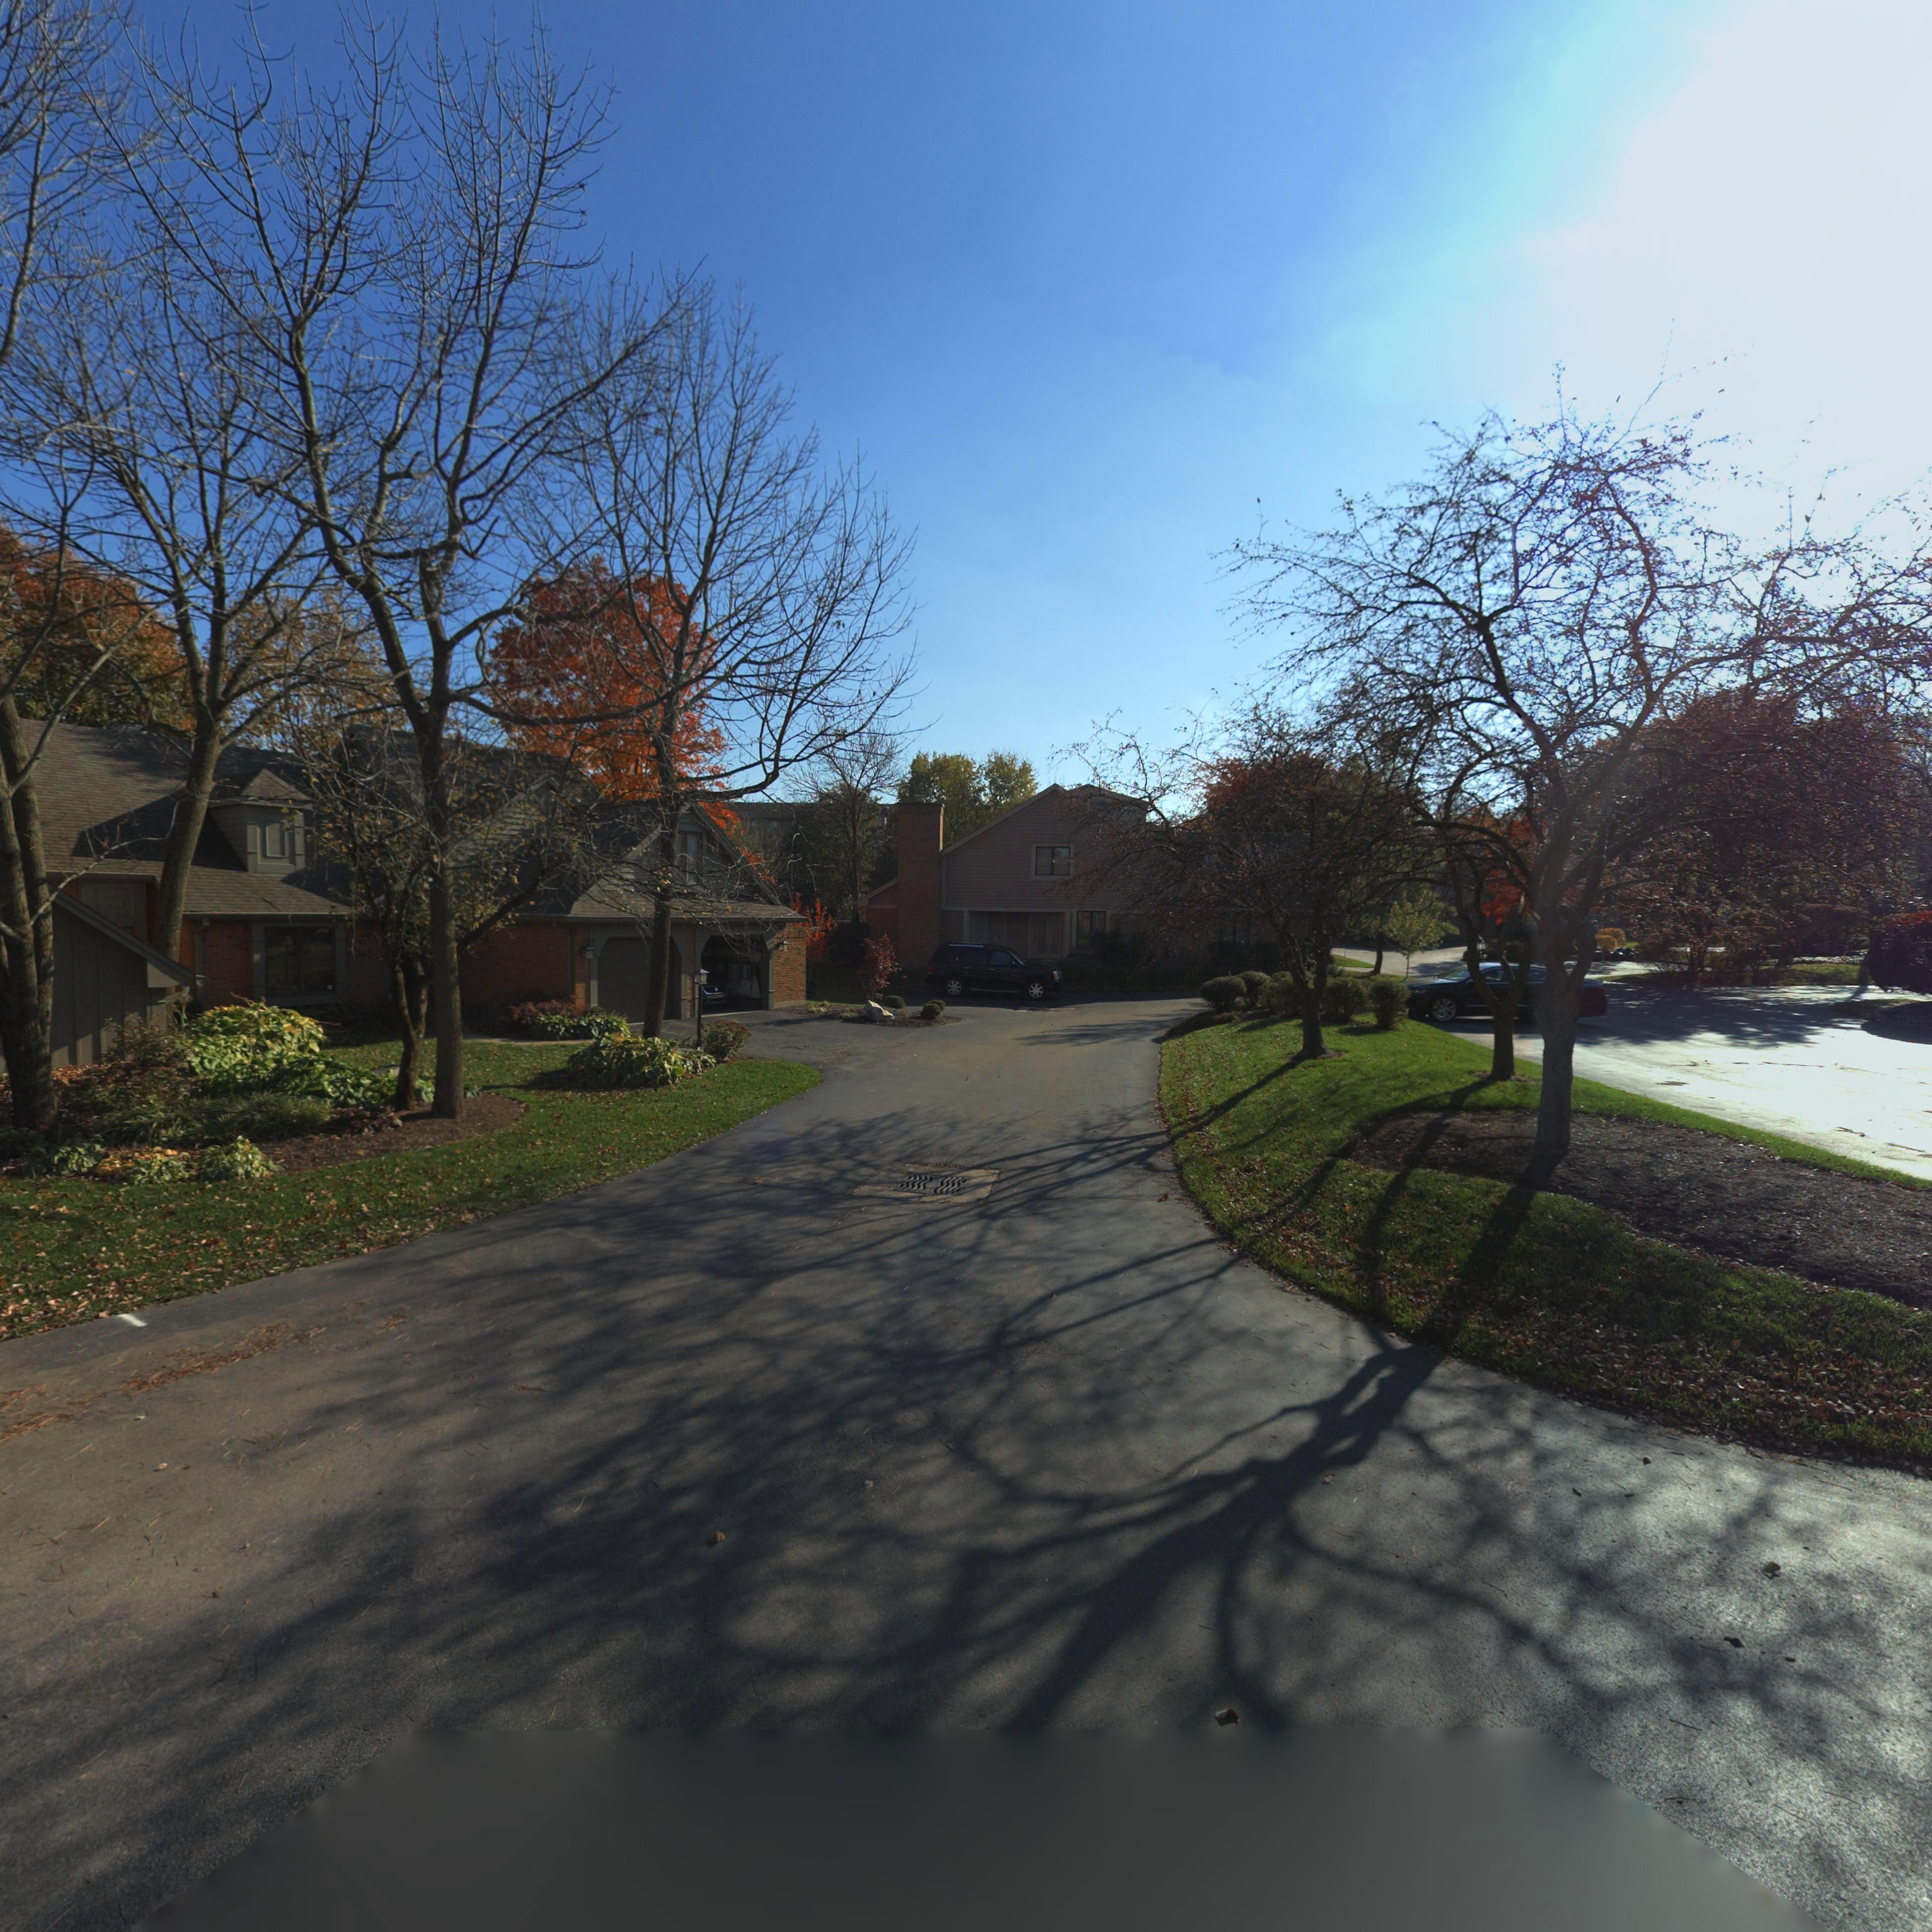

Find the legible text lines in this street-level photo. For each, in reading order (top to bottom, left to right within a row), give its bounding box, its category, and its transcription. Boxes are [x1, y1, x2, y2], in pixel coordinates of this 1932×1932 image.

[591, 937, 596, 945] StreetNumber: 5